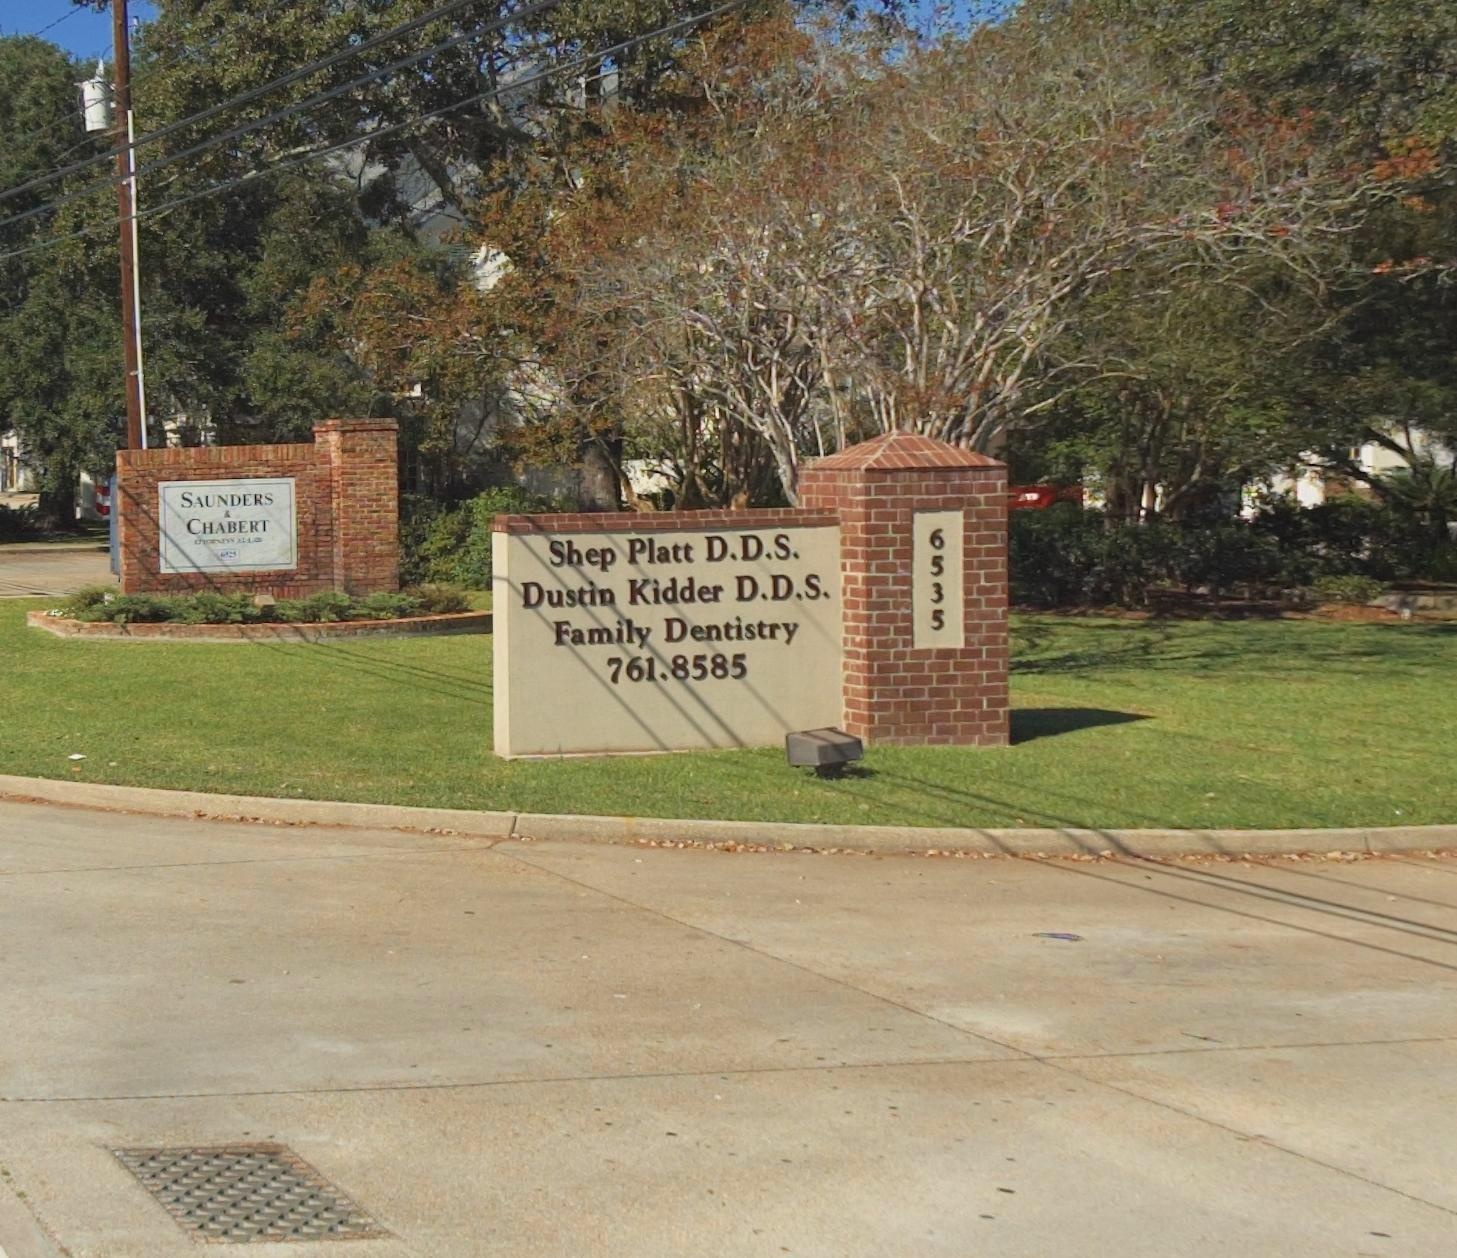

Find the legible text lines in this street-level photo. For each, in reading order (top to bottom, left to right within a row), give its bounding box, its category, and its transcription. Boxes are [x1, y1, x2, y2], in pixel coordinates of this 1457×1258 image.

[179, 489, 276, 510] BusinessName: SAUNDERS
[185, 518, 271, 536] BusinessName: CHABERT
[219, 549, 238, 558] StreetNumber: 6*25
[546, 530, 804, 575] BusinessName: Shep Platt D.D.S.
[520, 573, 832, 611] BusinessName: Dustin Kidder D.D.S.
[928, 526, 947, 634] StreetNumber: 6535
[551, 615, 801, 651] BusinessName: Family Dentistry
[606, 653, 750, 686] None: 761.8585